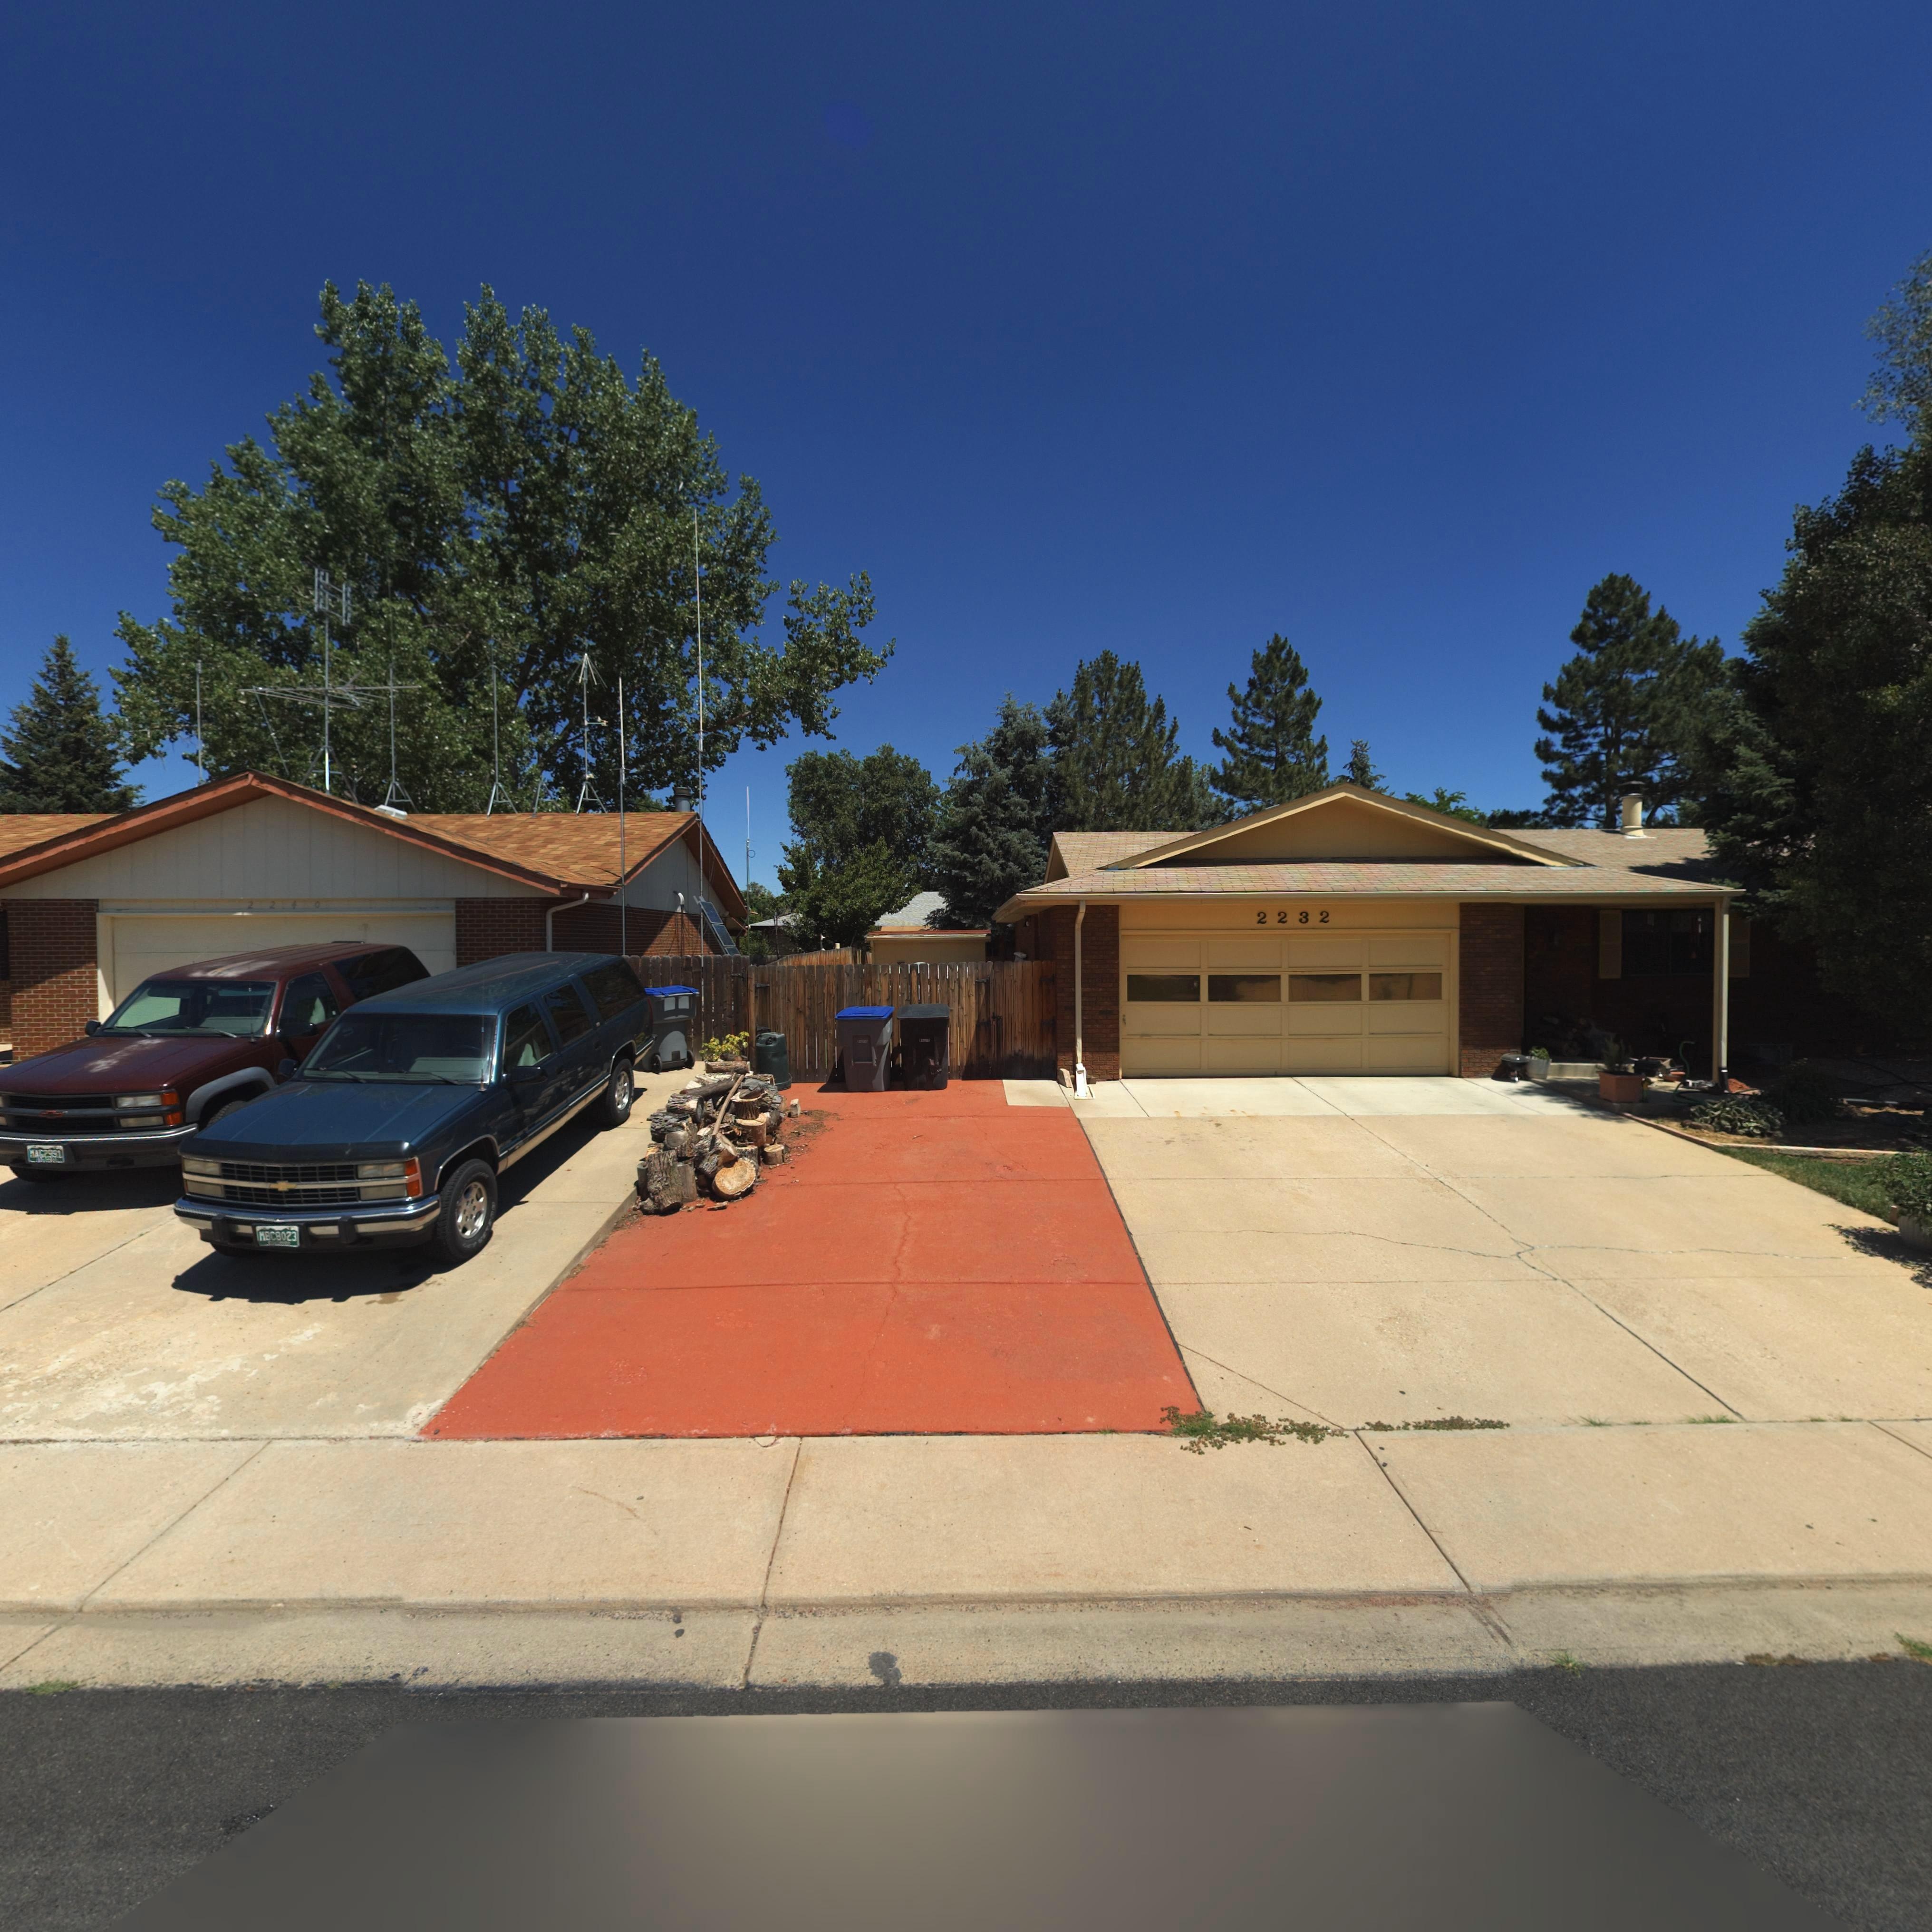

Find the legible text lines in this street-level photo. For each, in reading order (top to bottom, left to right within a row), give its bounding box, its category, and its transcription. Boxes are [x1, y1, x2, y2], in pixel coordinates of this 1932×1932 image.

[247, 901, 320, 908] StreetNumber: 2240
[1256, 910, 1330, 924] StreetNumber: 2232